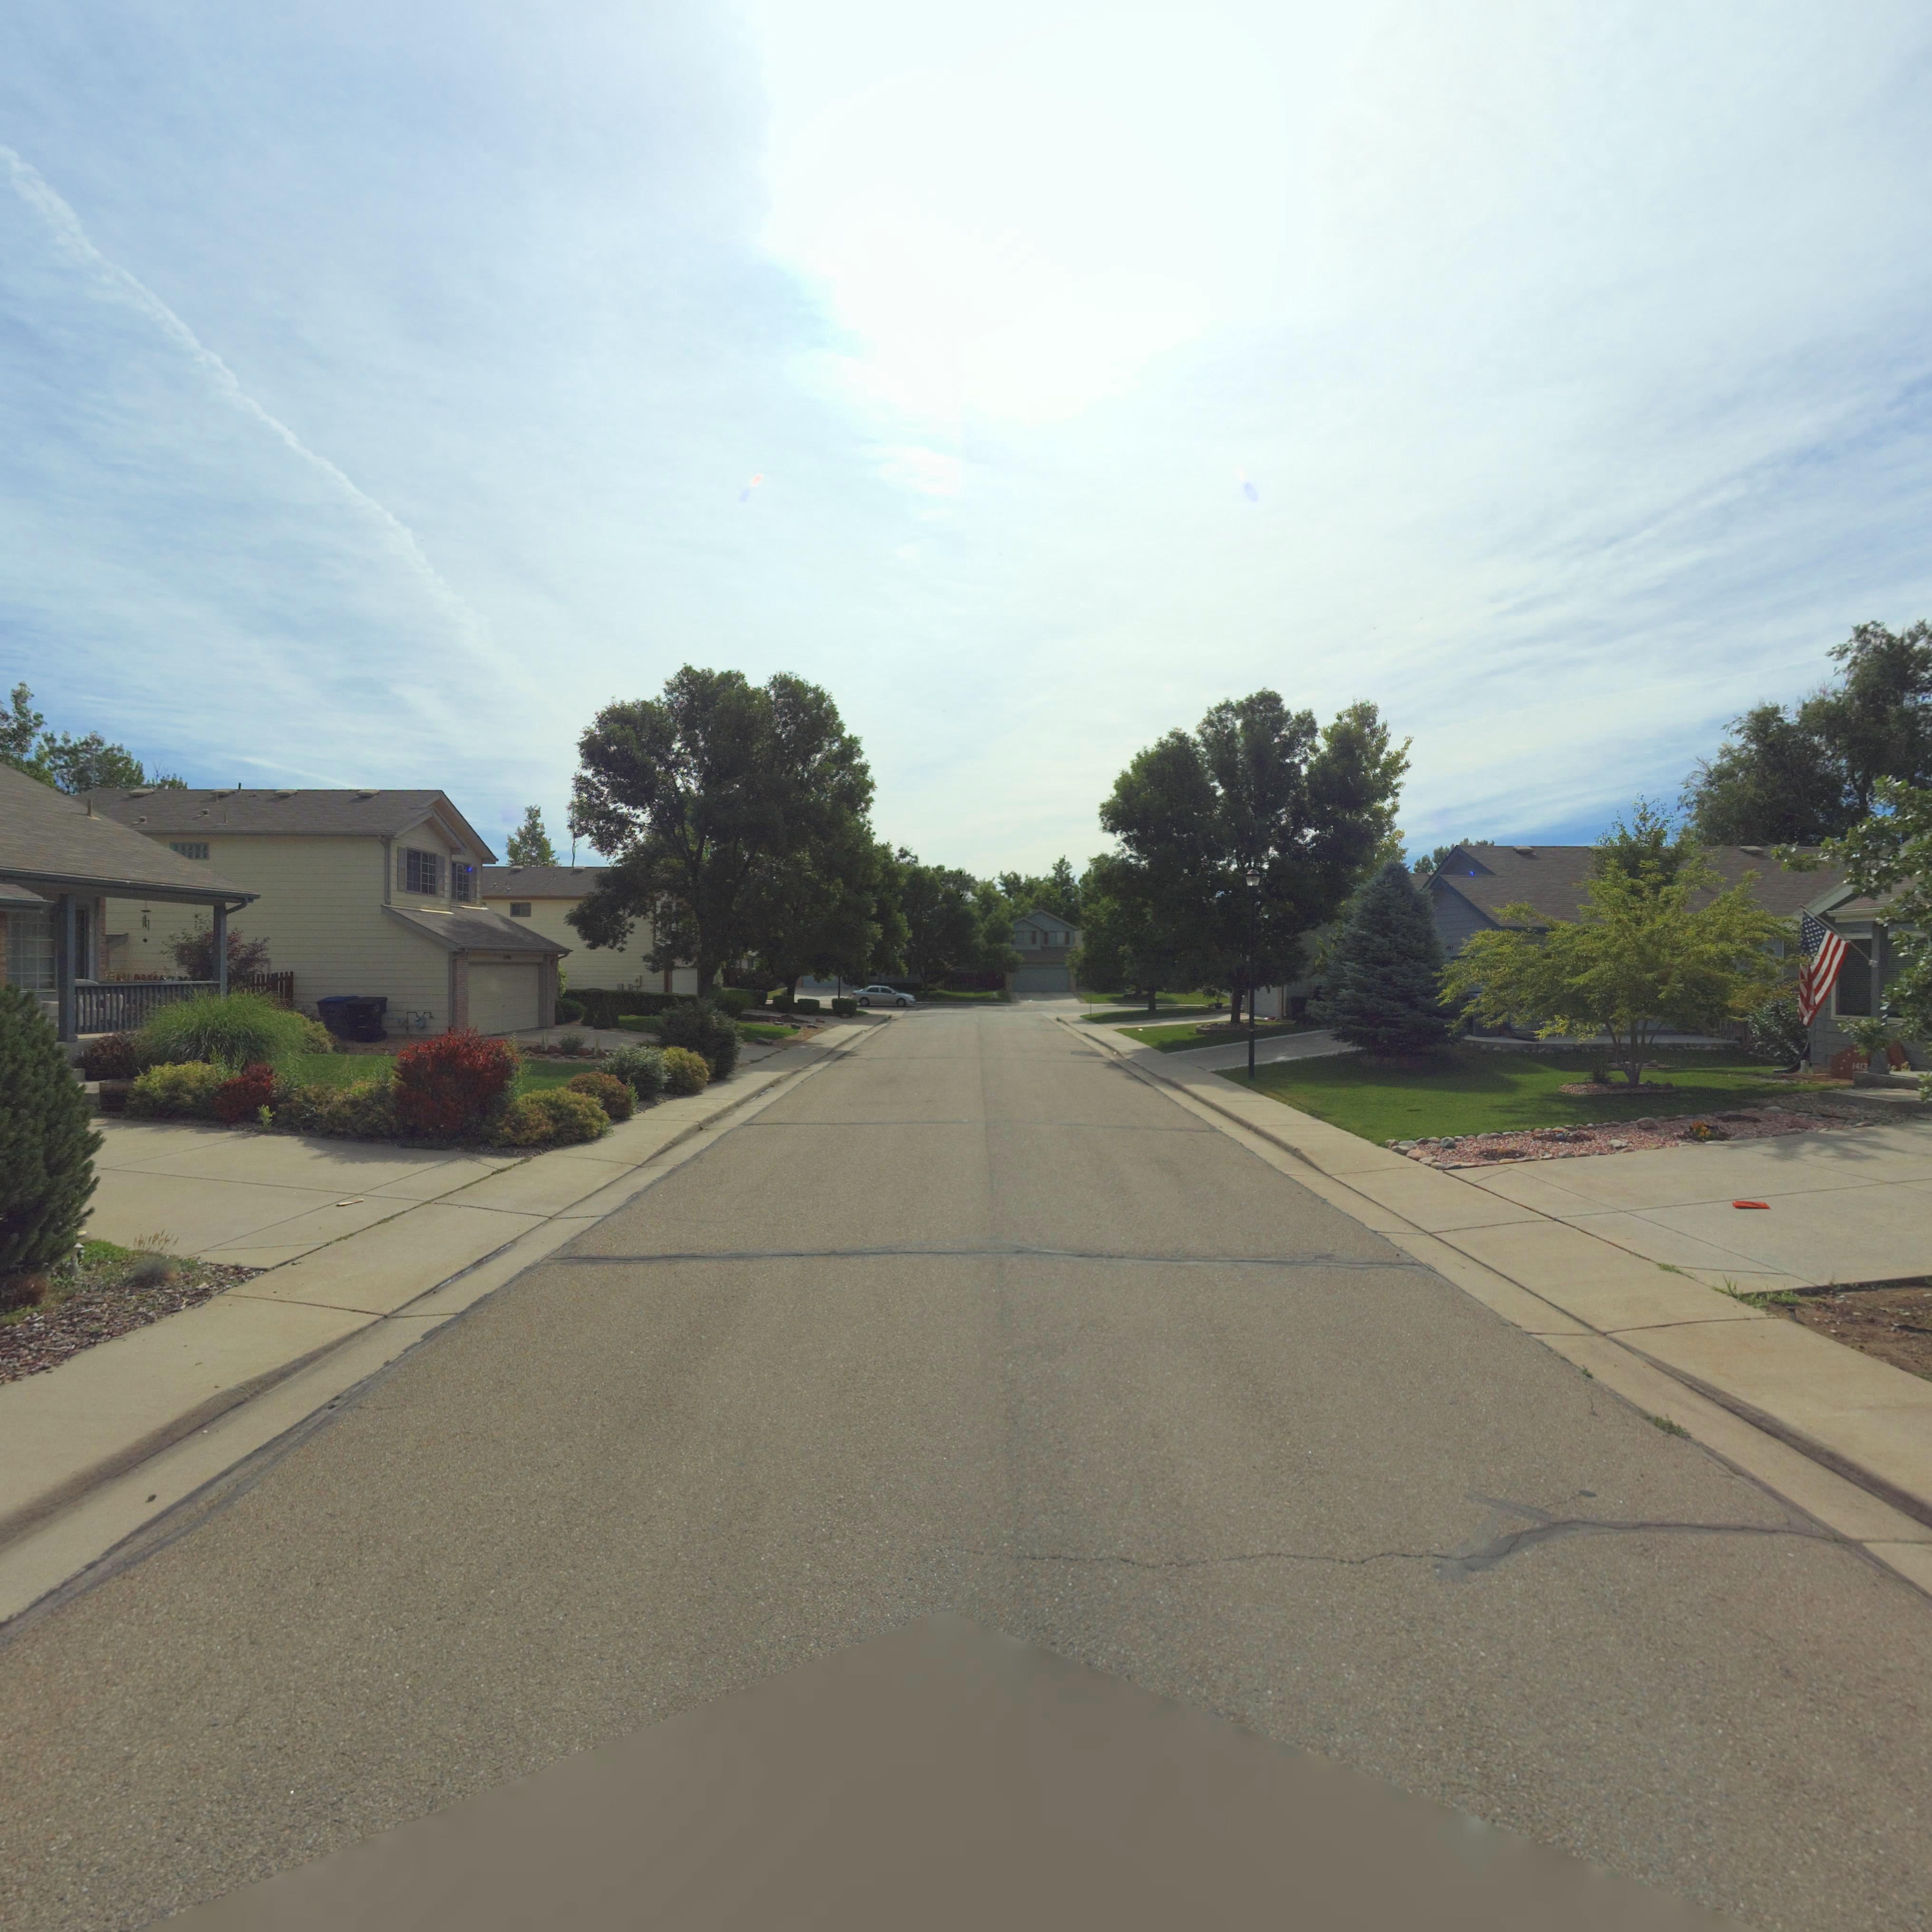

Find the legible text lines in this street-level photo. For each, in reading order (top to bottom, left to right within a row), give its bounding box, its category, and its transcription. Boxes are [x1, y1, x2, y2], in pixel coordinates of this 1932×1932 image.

[1445, 944, 1454, 951] StreetNumber: 1427
[502, 954, 512, 959] StreetNumber: 14**
[1852, 1062, 1868, 1071] StreetNumber: 1413